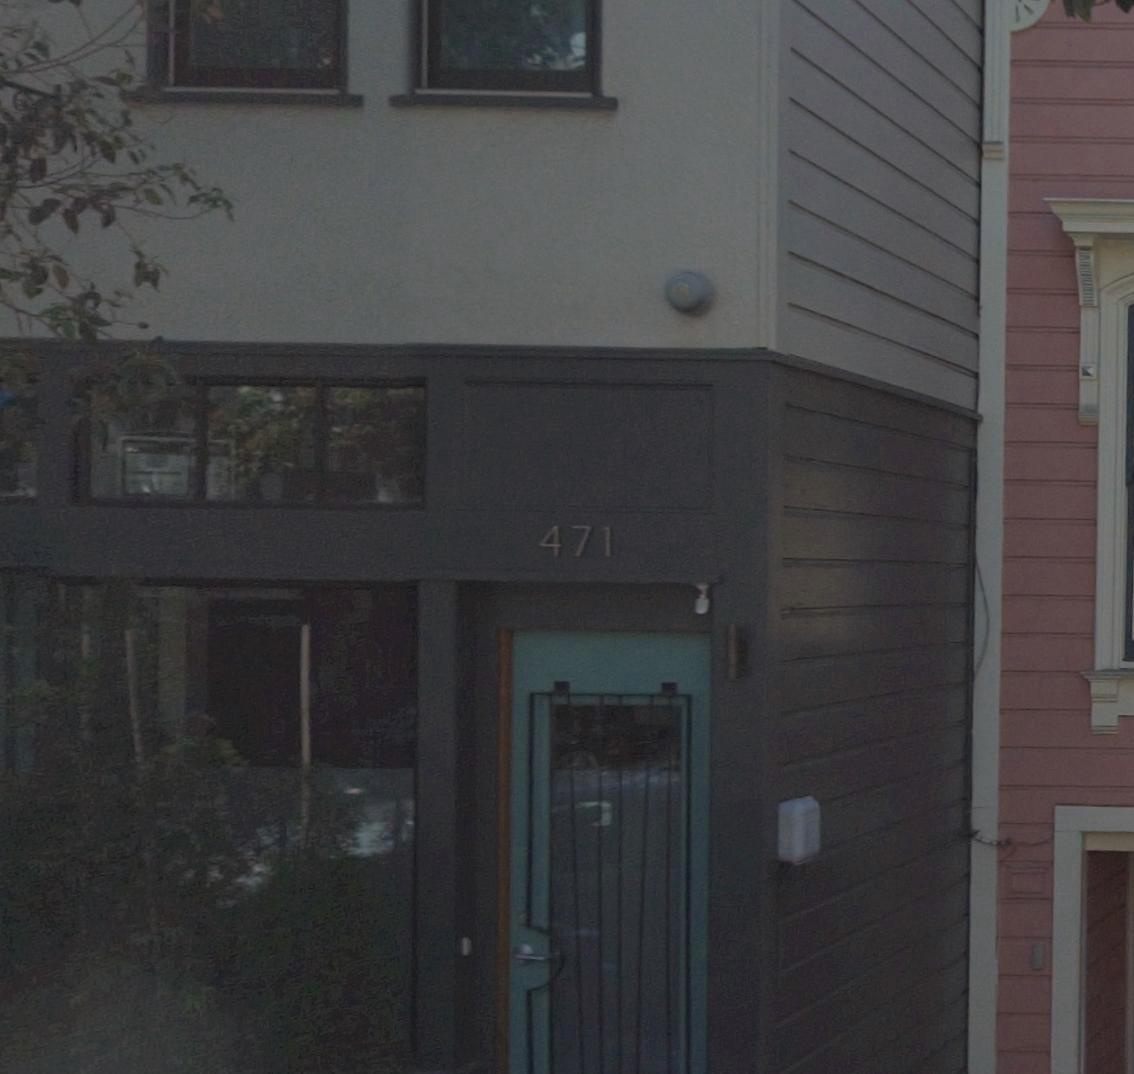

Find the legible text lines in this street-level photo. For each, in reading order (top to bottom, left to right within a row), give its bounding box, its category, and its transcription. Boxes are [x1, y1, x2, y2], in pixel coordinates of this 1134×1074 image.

[538, 523, 615, 560] StreetNumber: 471